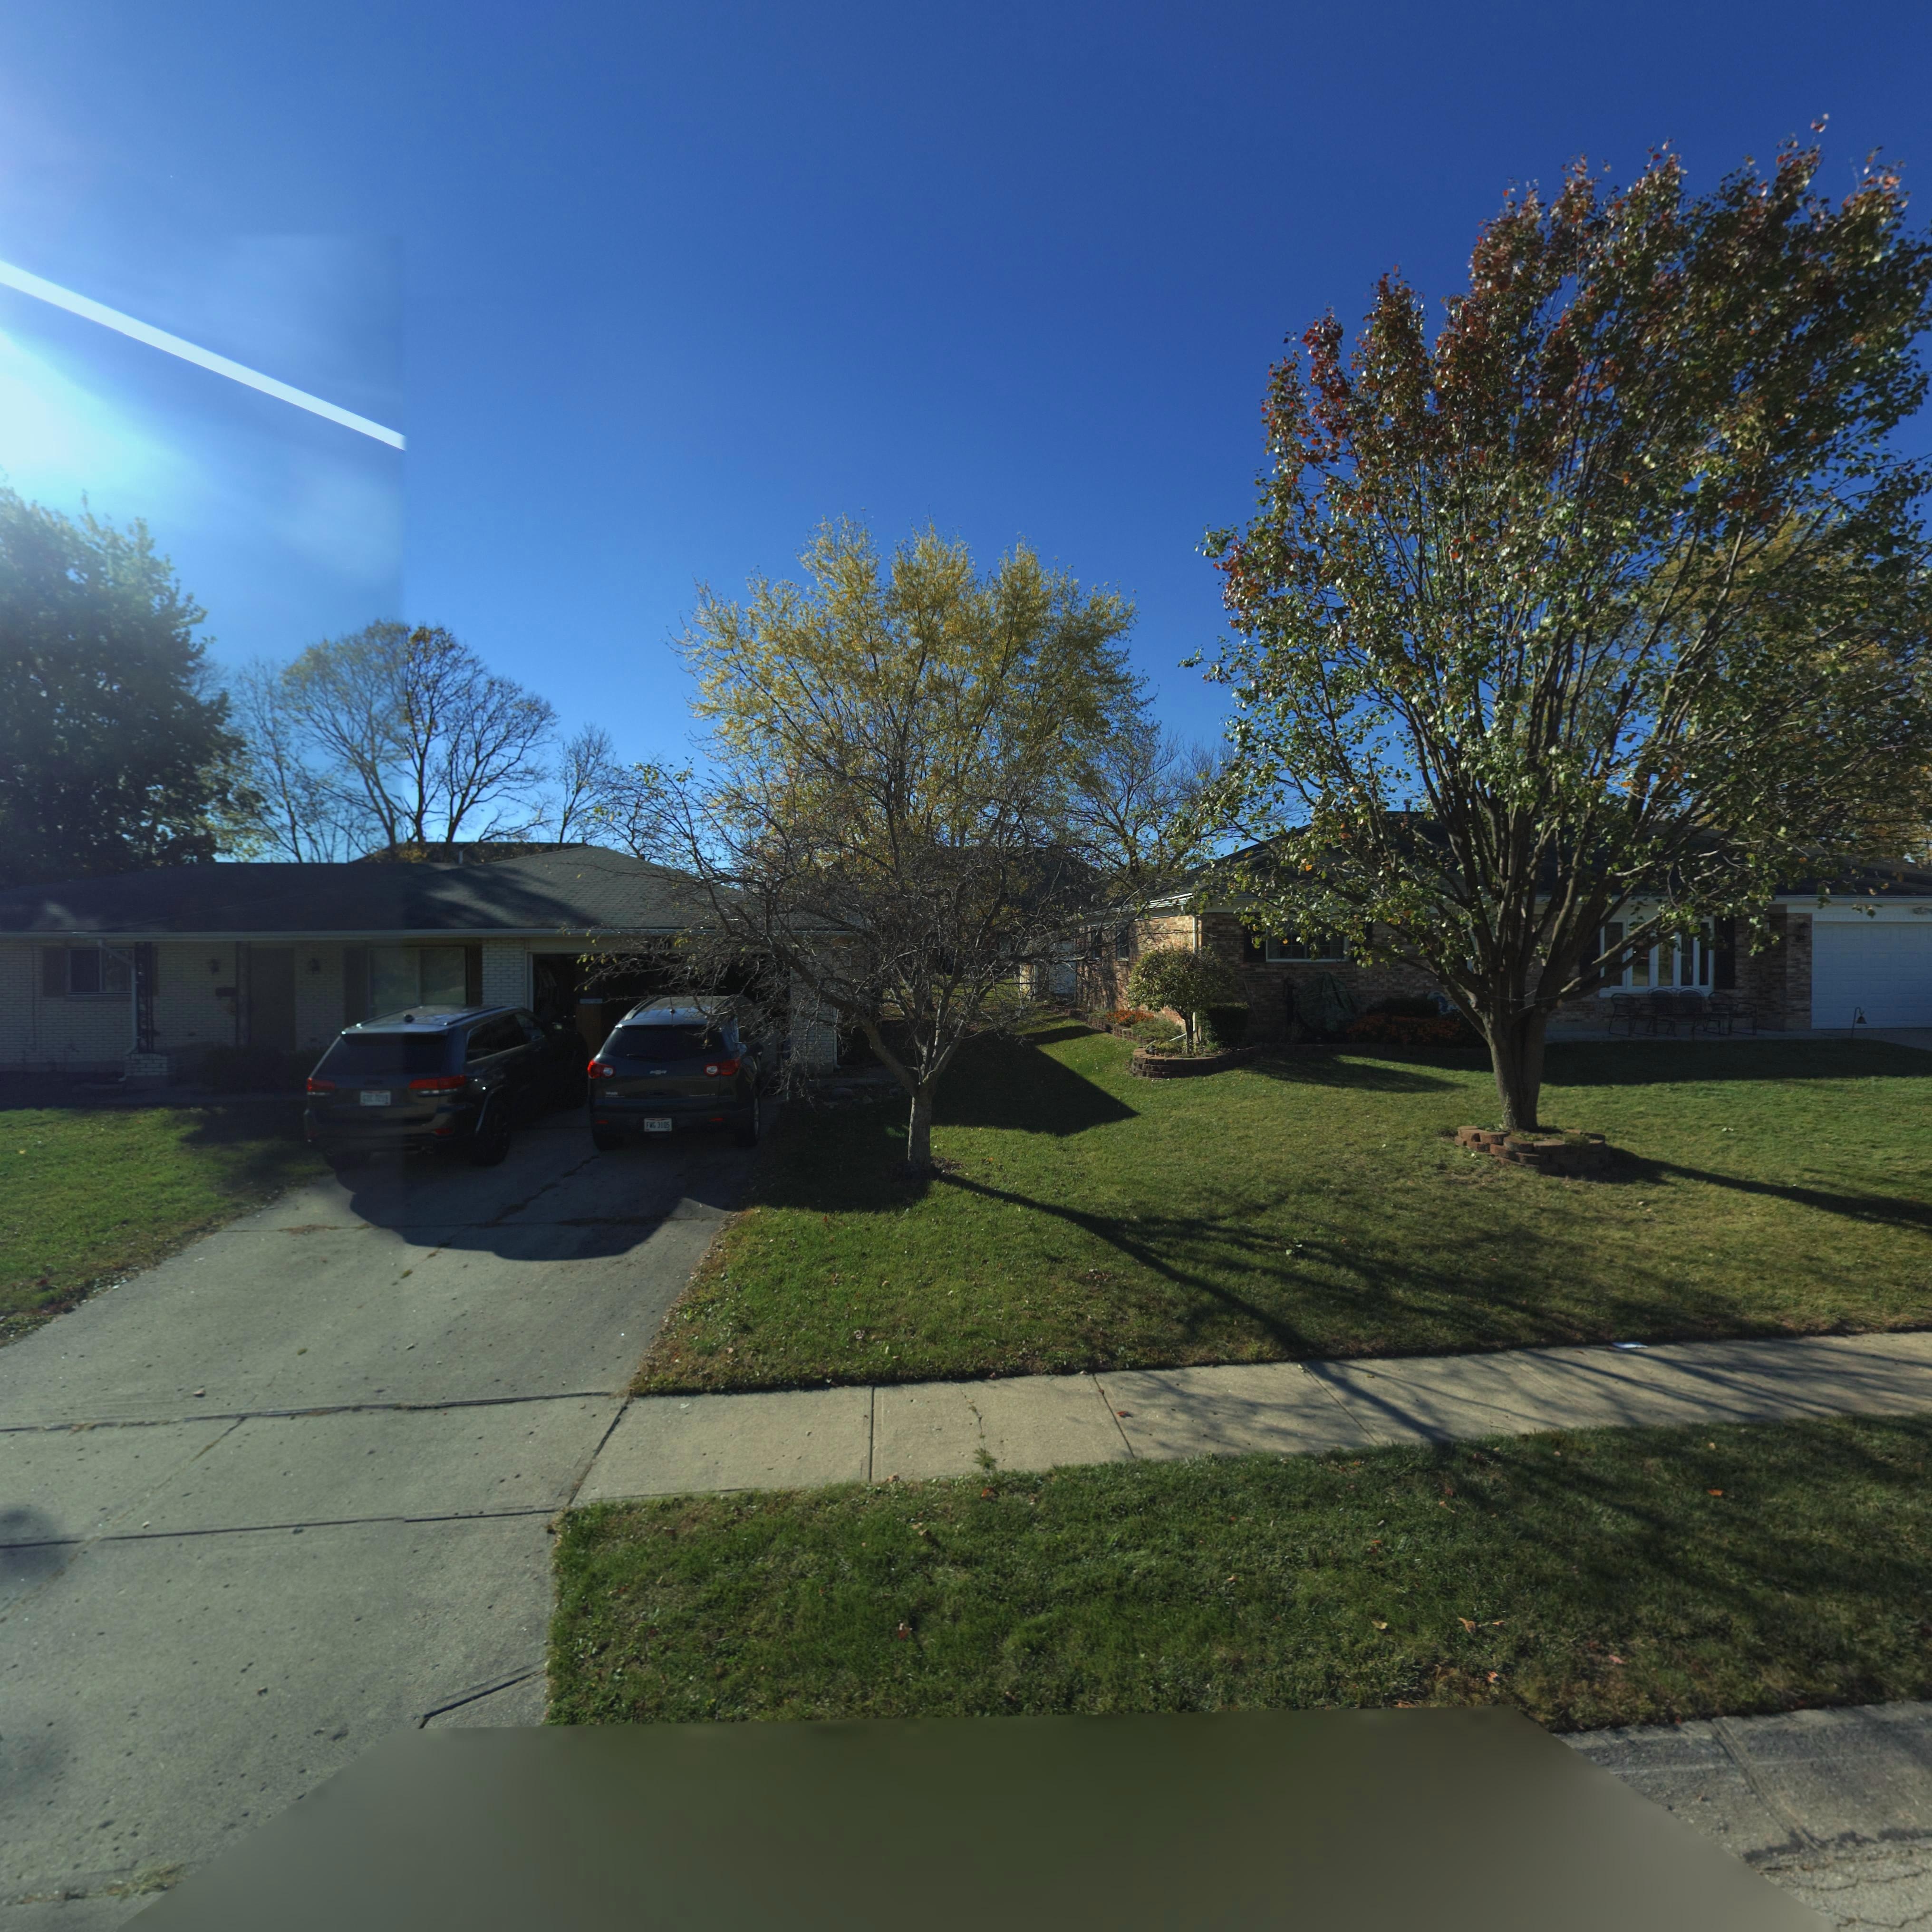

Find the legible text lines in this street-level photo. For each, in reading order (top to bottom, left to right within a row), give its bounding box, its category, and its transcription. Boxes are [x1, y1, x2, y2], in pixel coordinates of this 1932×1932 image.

[654, 942, 669, 950] StreetNumber: 031